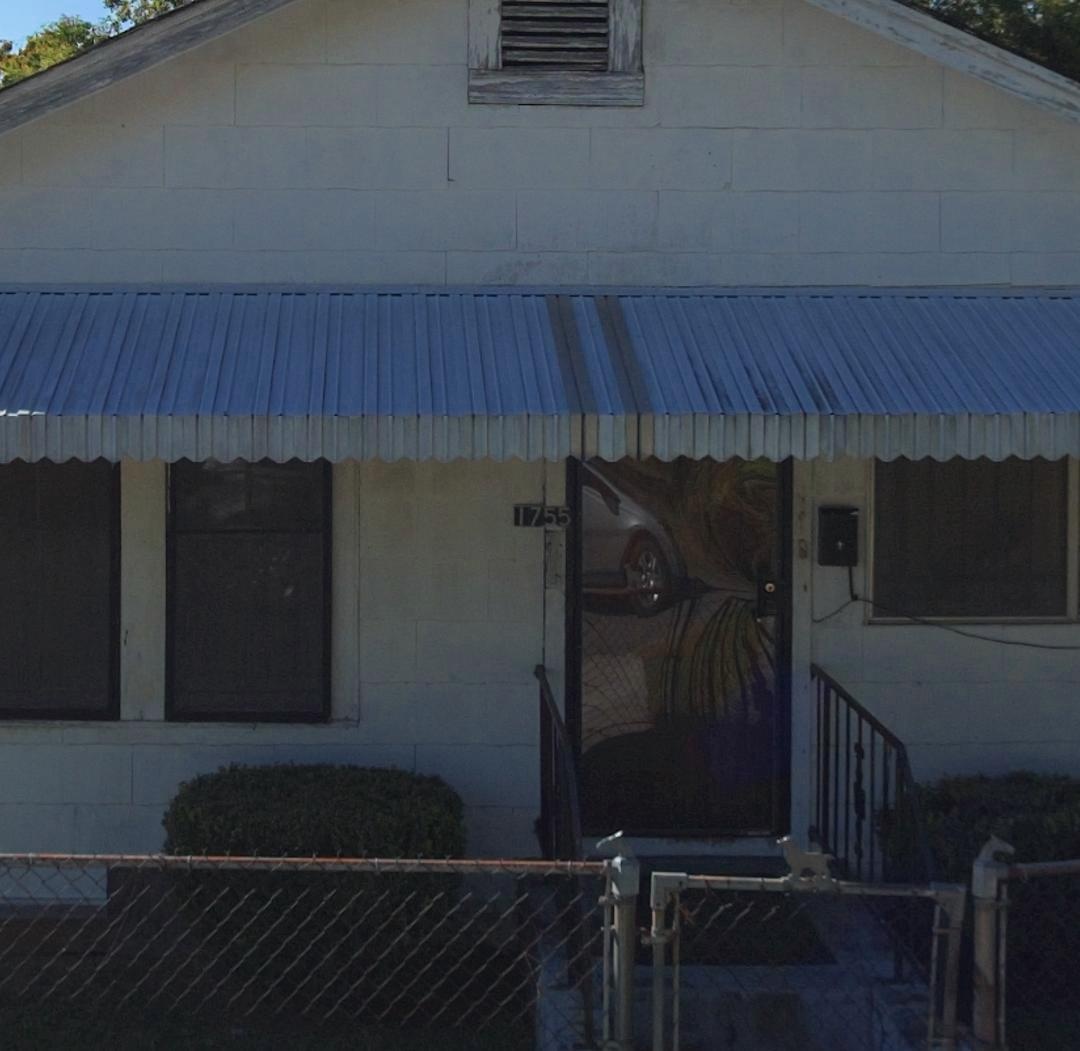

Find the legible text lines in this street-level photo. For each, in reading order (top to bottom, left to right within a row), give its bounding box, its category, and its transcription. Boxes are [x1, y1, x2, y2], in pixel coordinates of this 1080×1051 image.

[514, 505, 572, 527] StreetNumber: 1755